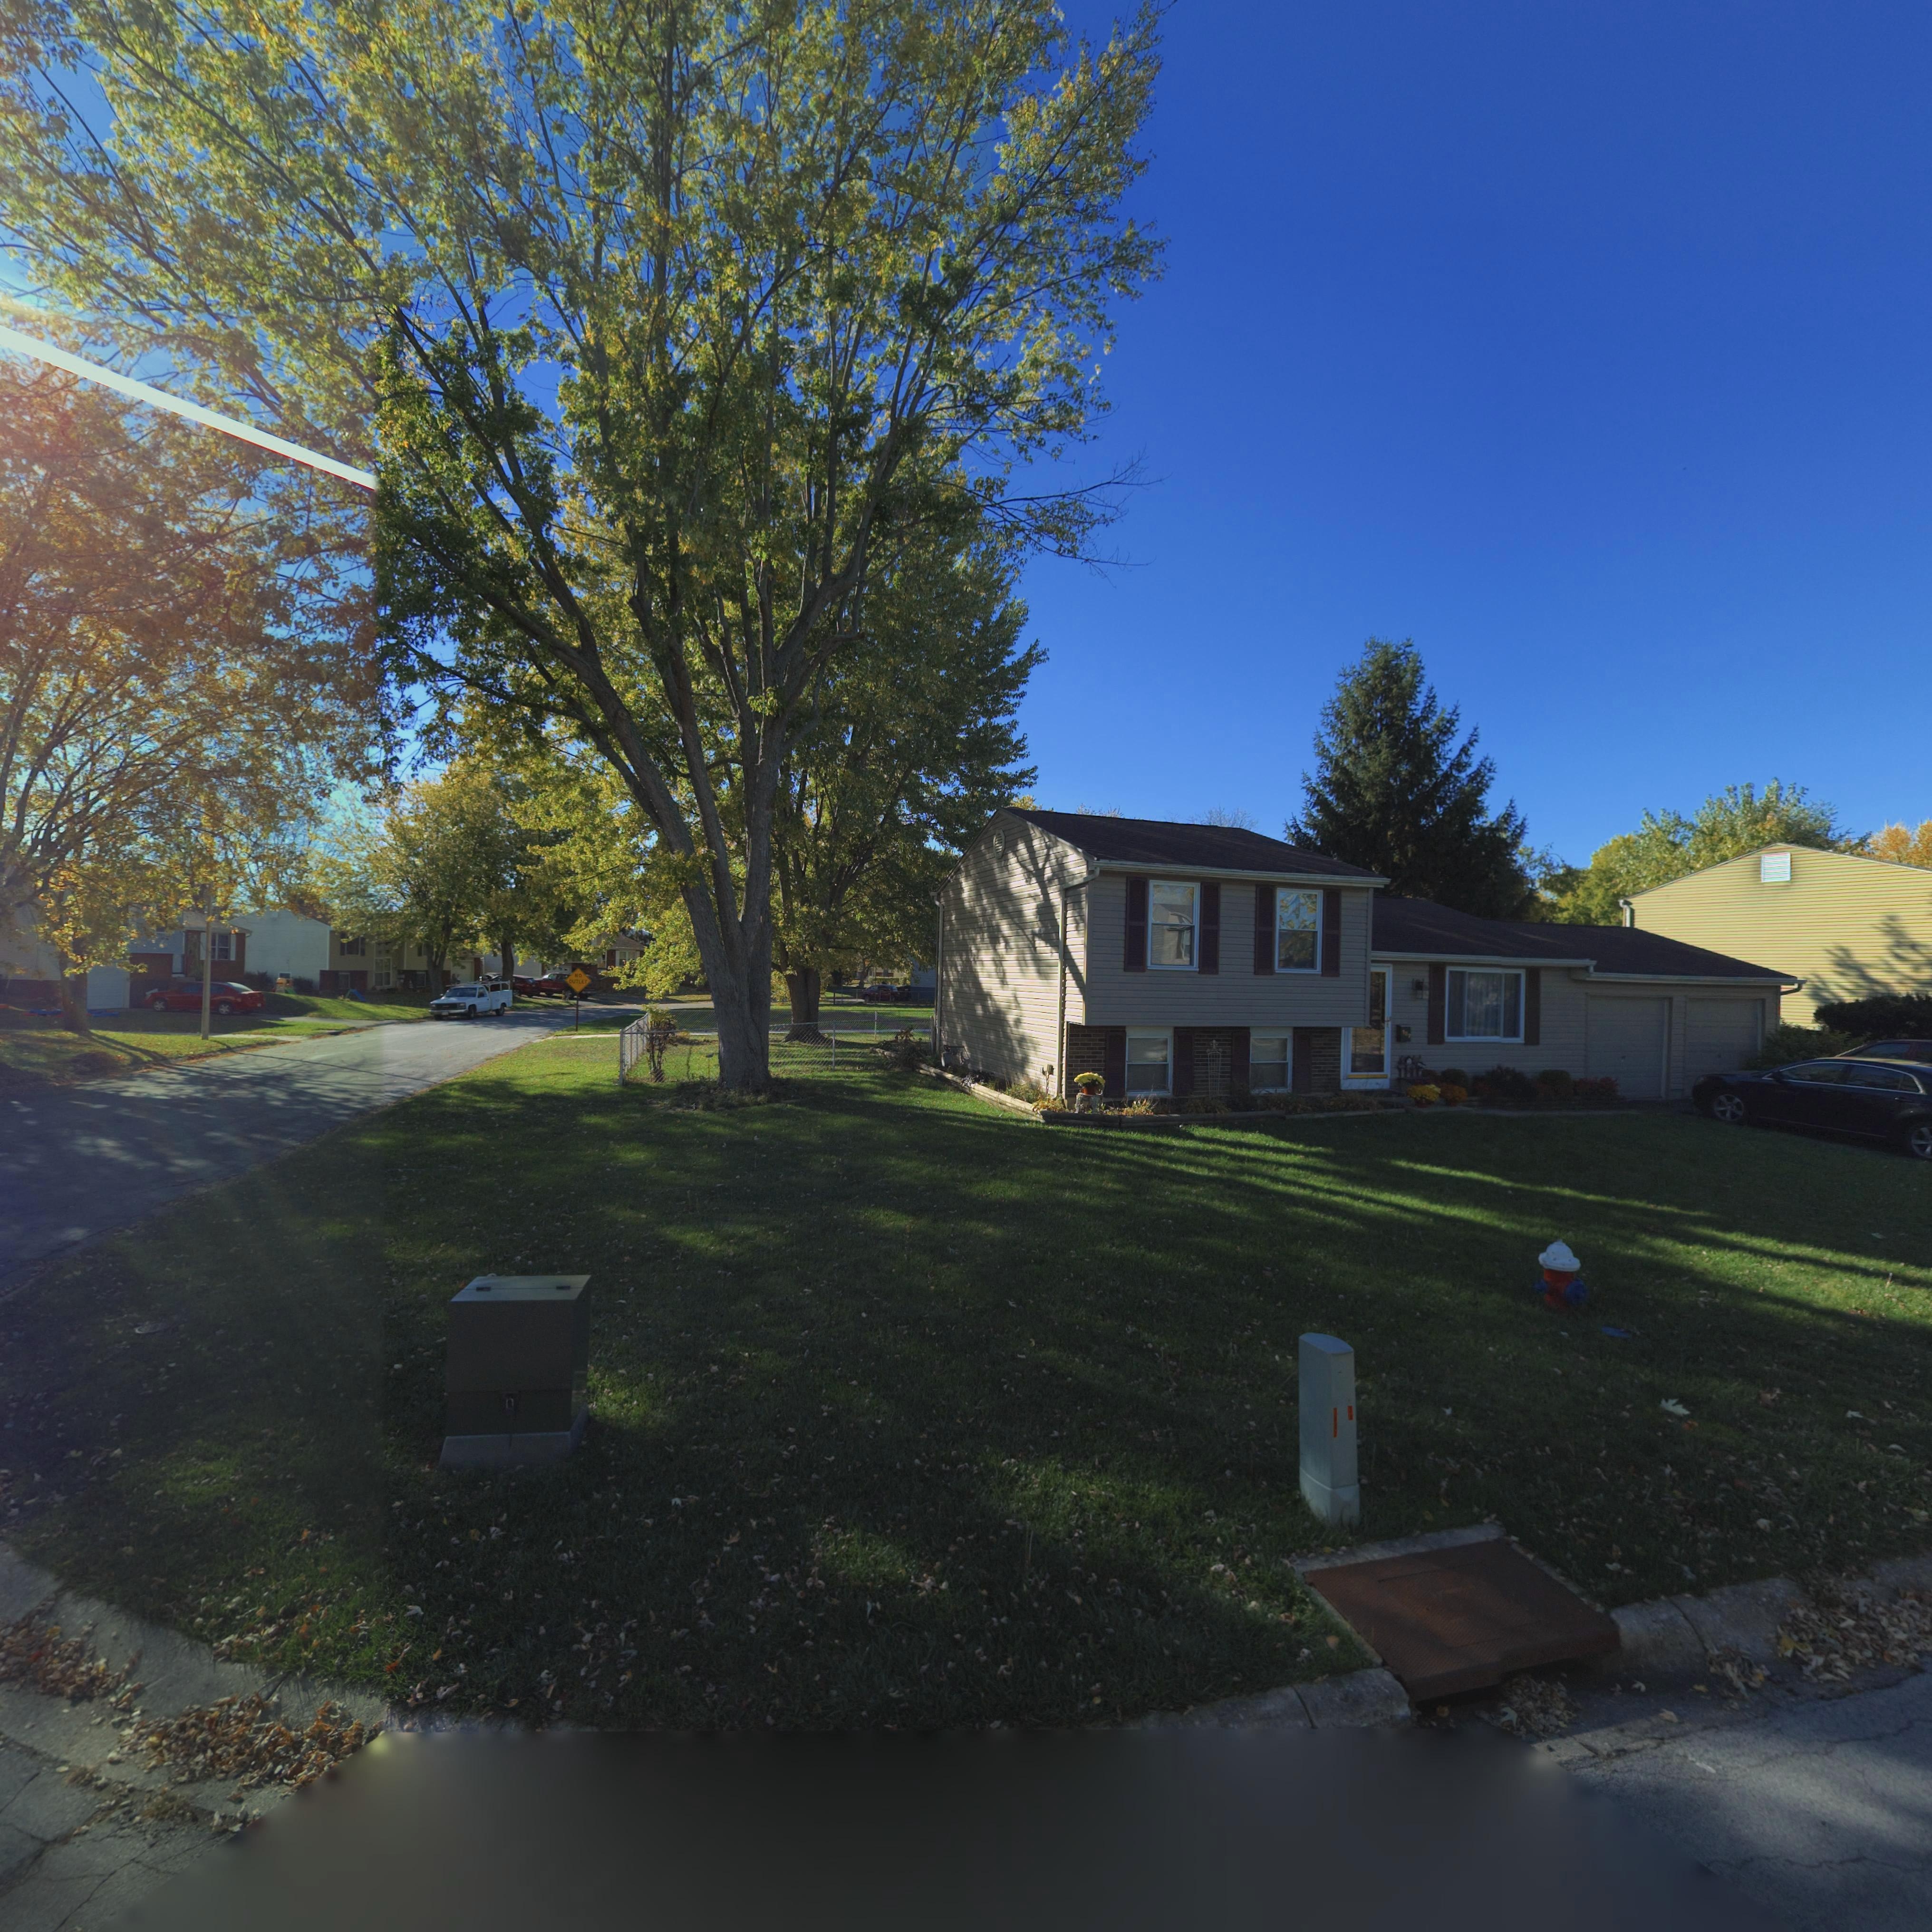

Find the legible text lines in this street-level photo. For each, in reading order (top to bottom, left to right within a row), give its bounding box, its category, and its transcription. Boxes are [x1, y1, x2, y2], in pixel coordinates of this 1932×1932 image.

[1402, 1029, 1411, 1039] StreetNumber: 1*7